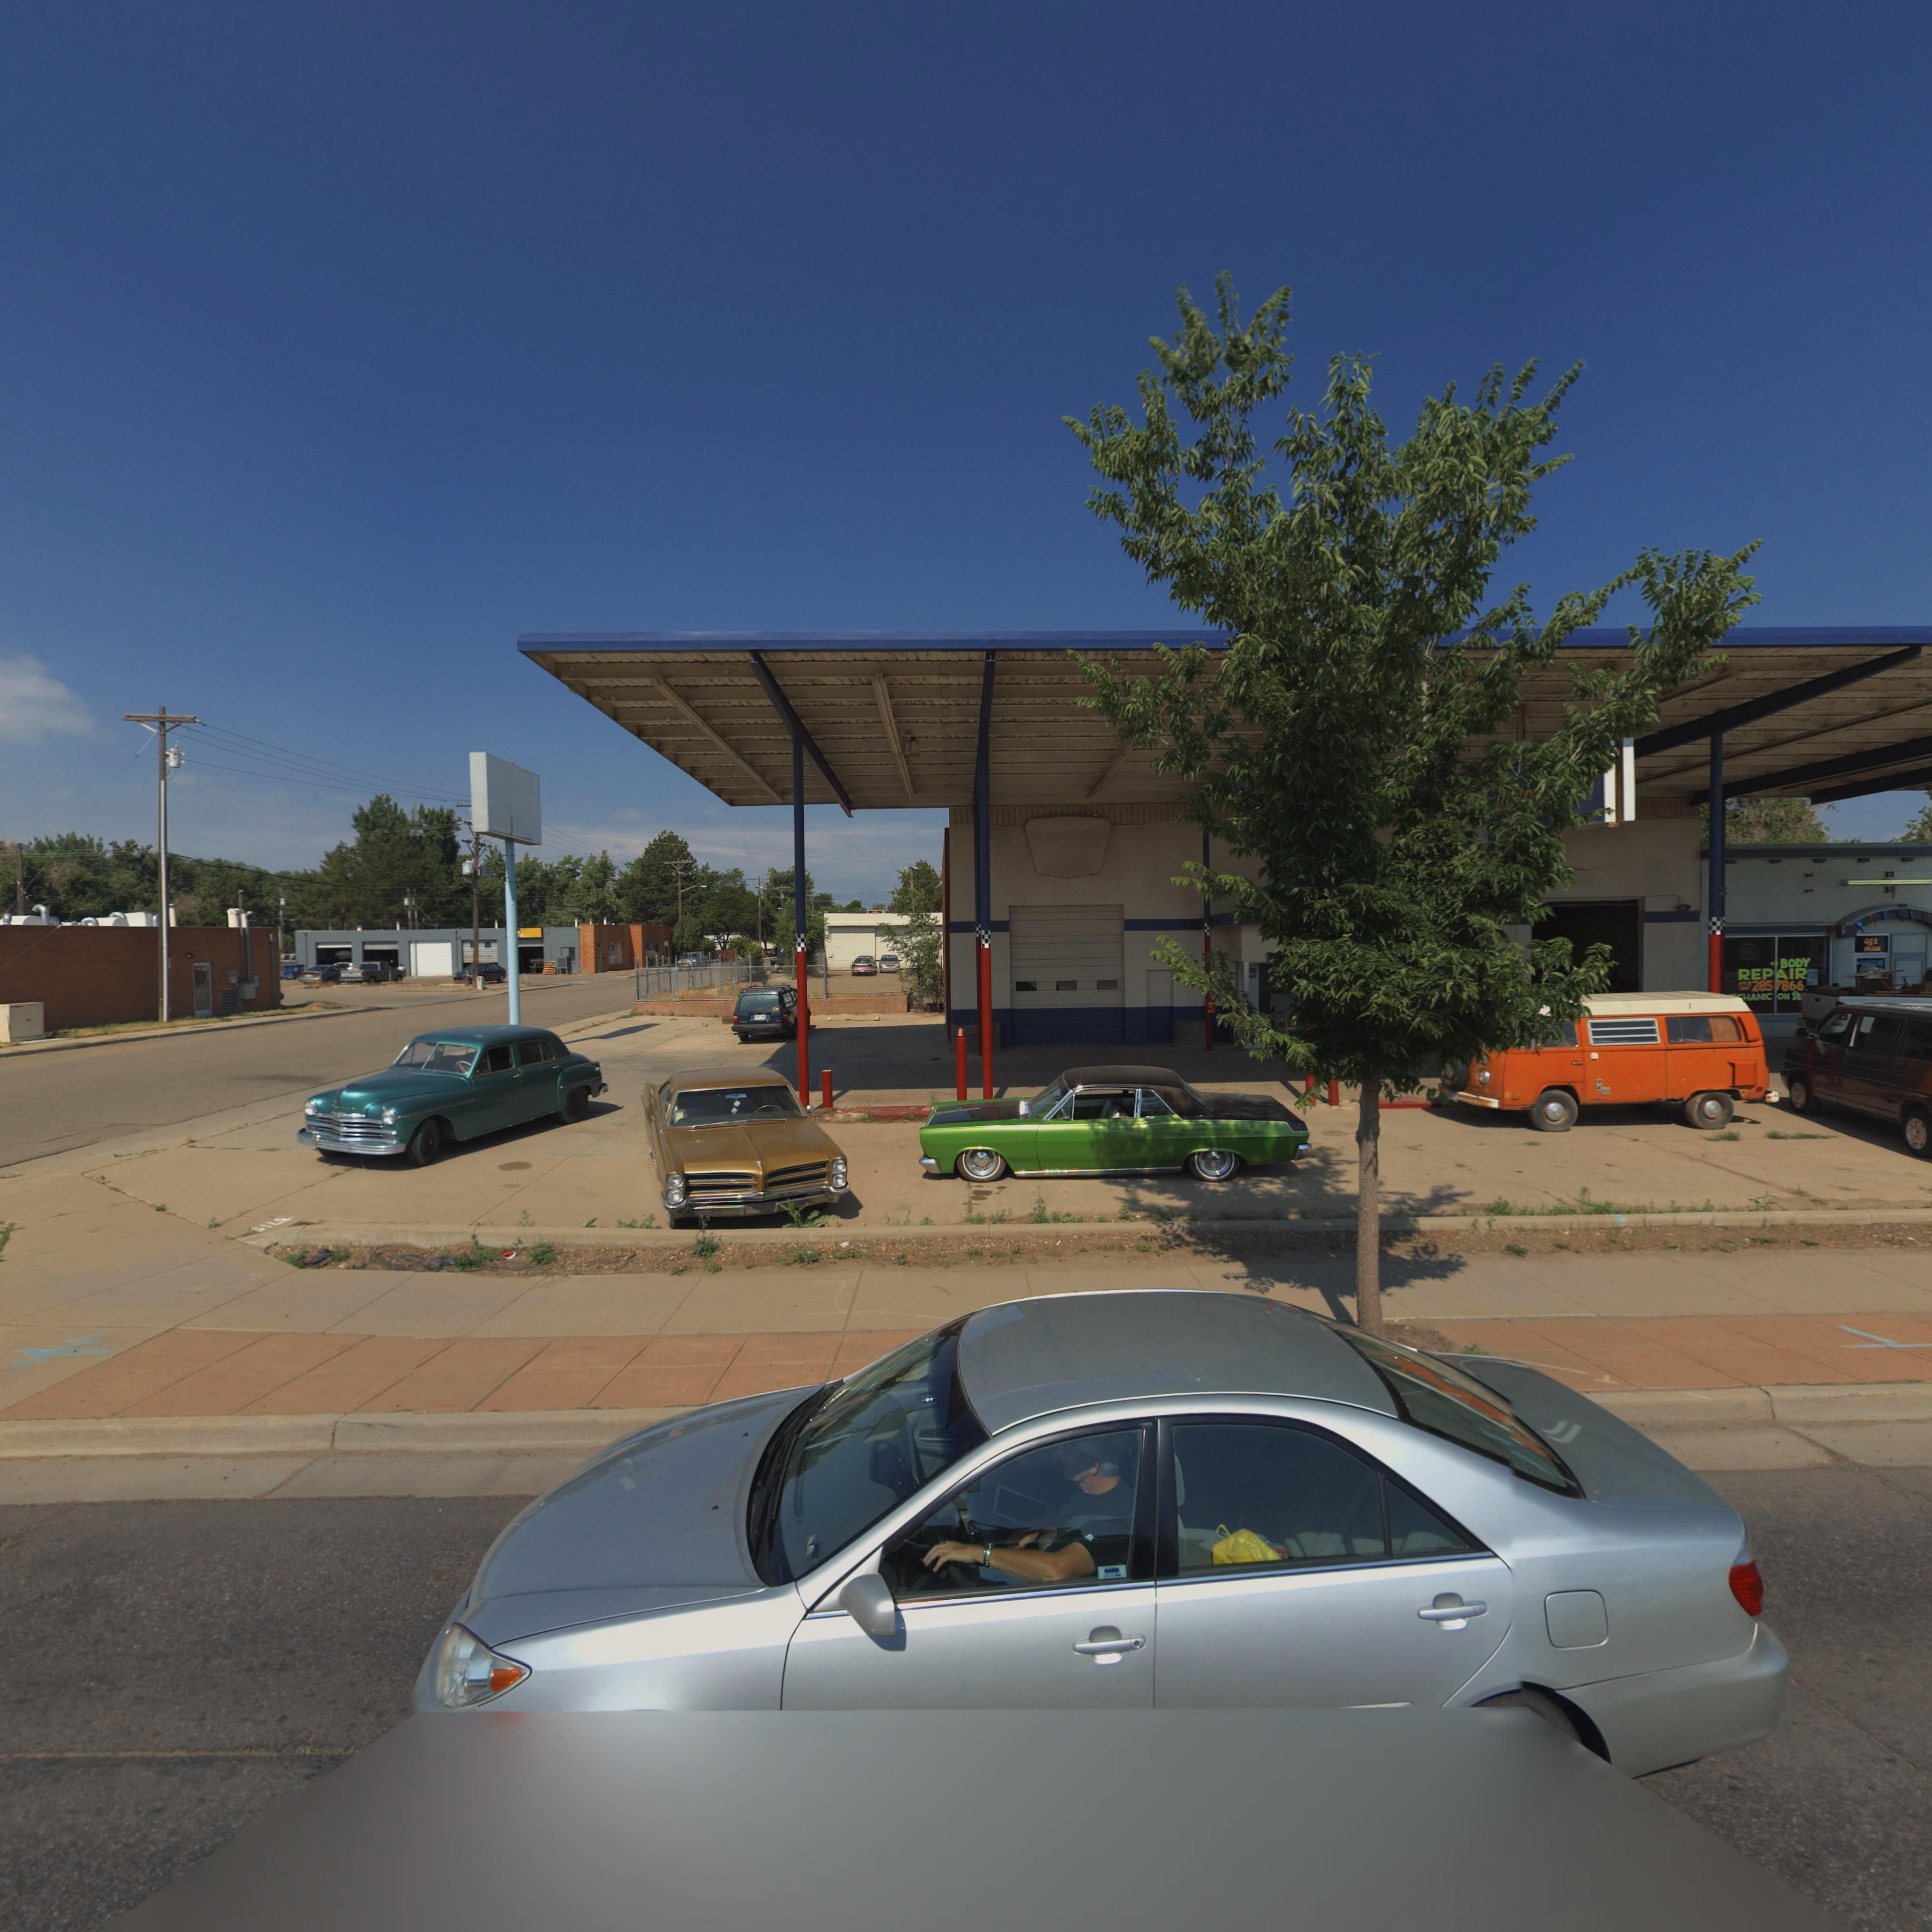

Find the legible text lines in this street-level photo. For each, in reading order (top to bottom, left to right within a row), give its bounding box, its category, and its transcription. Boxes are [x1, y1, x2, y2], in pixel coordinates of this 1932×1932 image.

[1863, 937, 1873, 946] StreetNumber: *1
[1873, 937, 1879, 945] StreetName: S
[1864, 946, 1881, 951] StreetName: M***